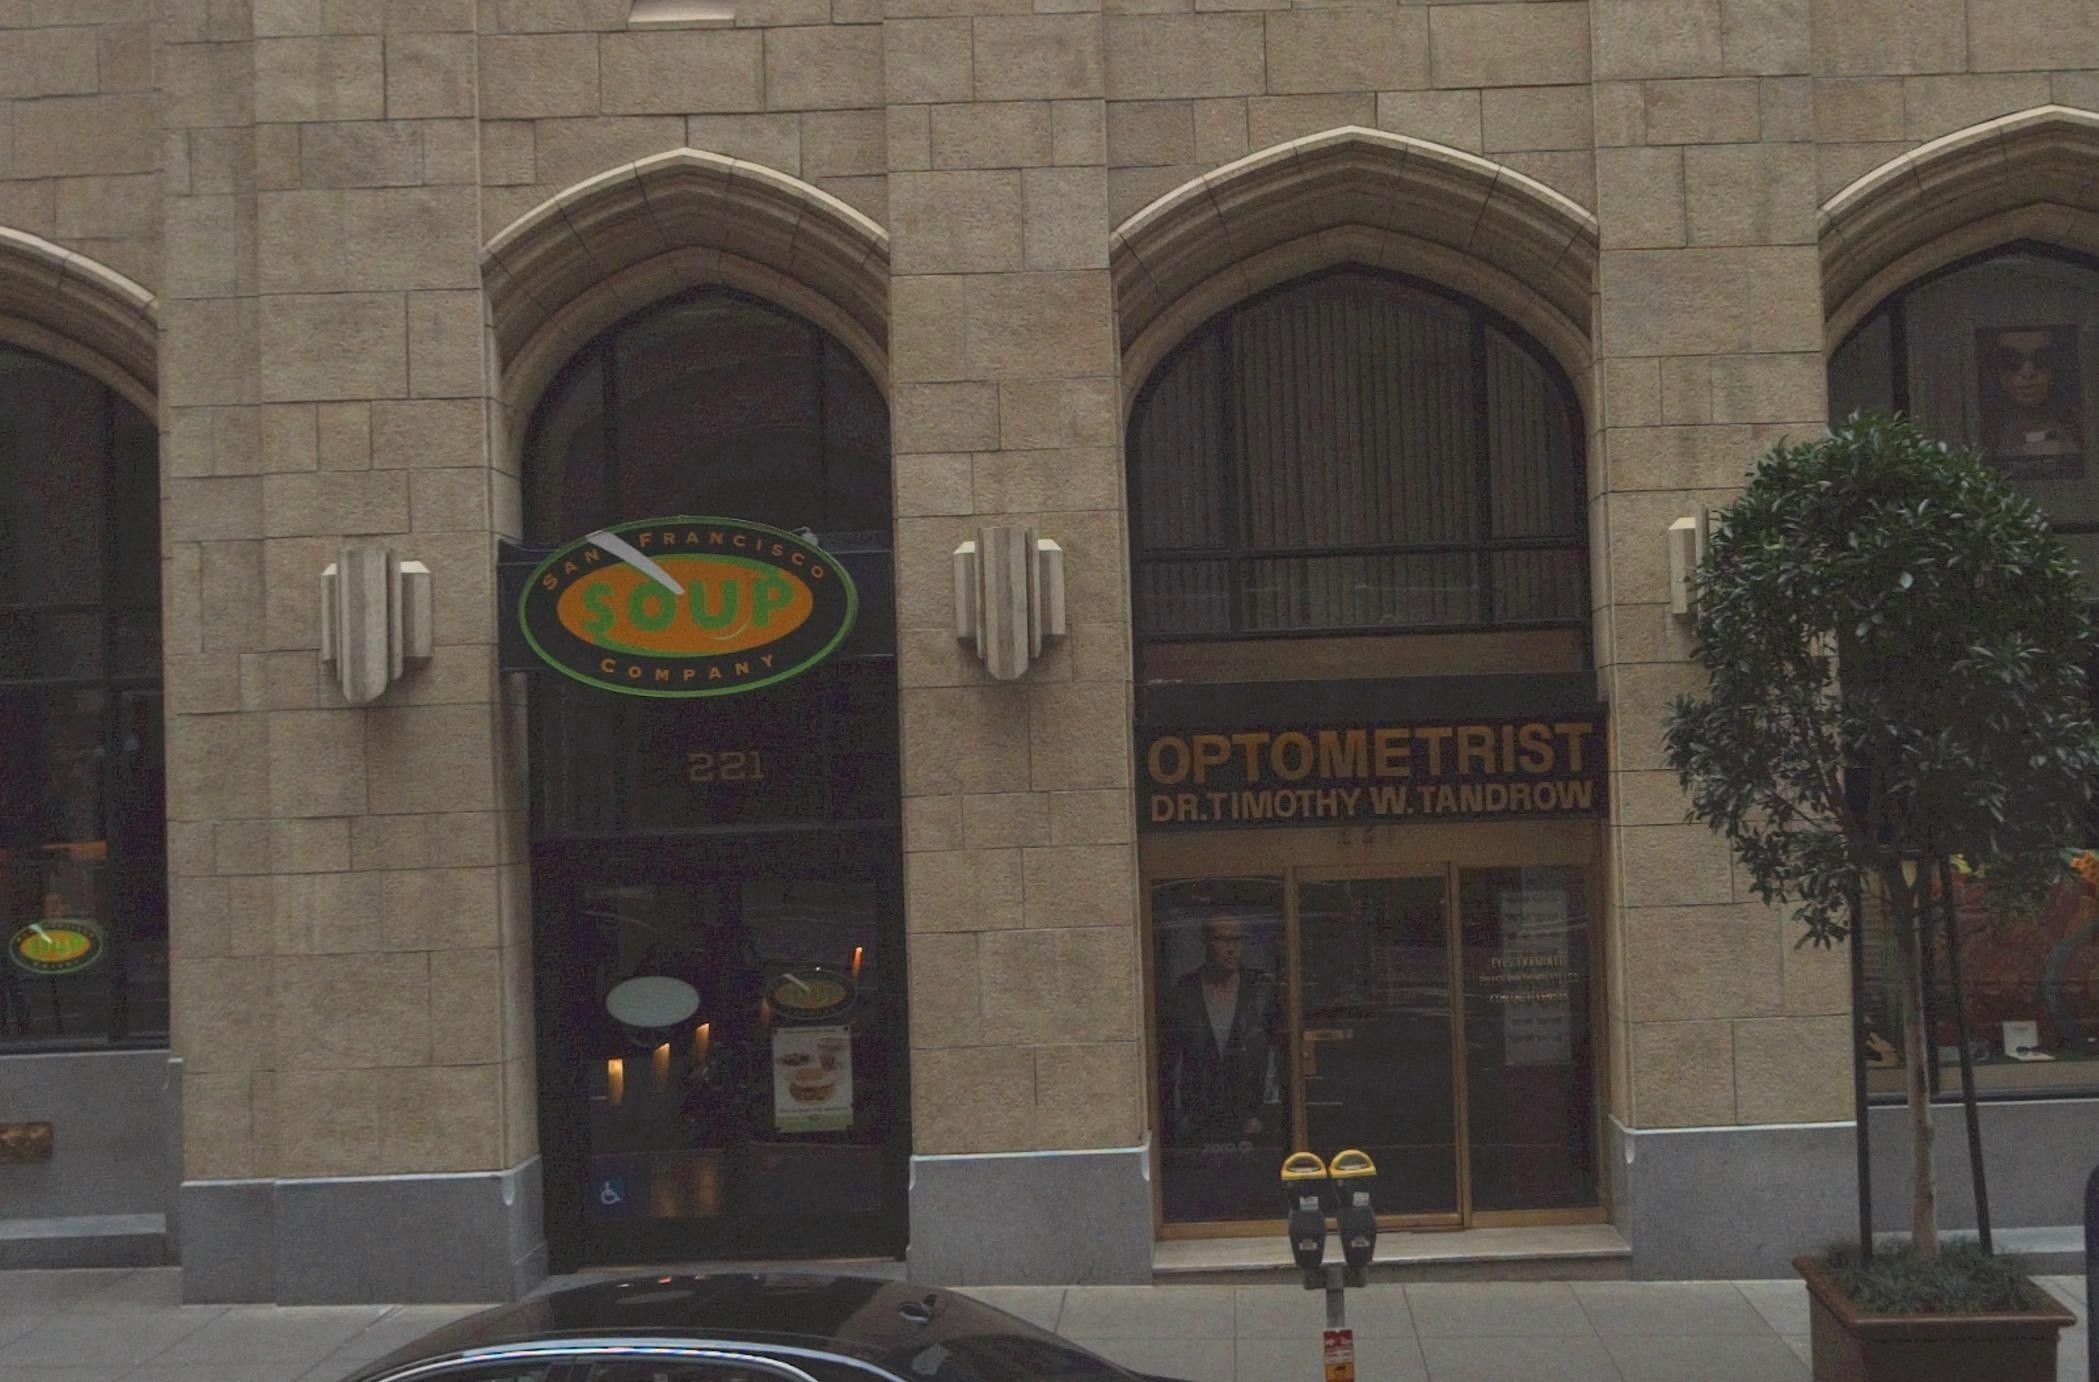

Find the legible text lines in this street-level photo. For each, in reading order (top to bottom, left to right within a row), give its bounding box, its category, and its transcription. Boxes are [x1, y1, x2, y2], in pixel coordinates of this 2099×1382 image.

[537, 528, 827, 594] BusinessName: SAN FRANCISCO
[579, 574, 799, 638] BusinessName: SOUP
[597, 651, 775, 684] BusinessName: COMPANY
[686, 748, 767, 784] StreetNumber: 221
[1144, 719, 1596, 789] BusinessName: OPTOMETRIST
[1146, 776, 1597, 827] BusinessName: DR.TIMOTHY W. TANDROW
[25, 932, 88, 960] BusinessName: SOUP
[1486, 952, 1569, 972] None: EY*S **AMINED